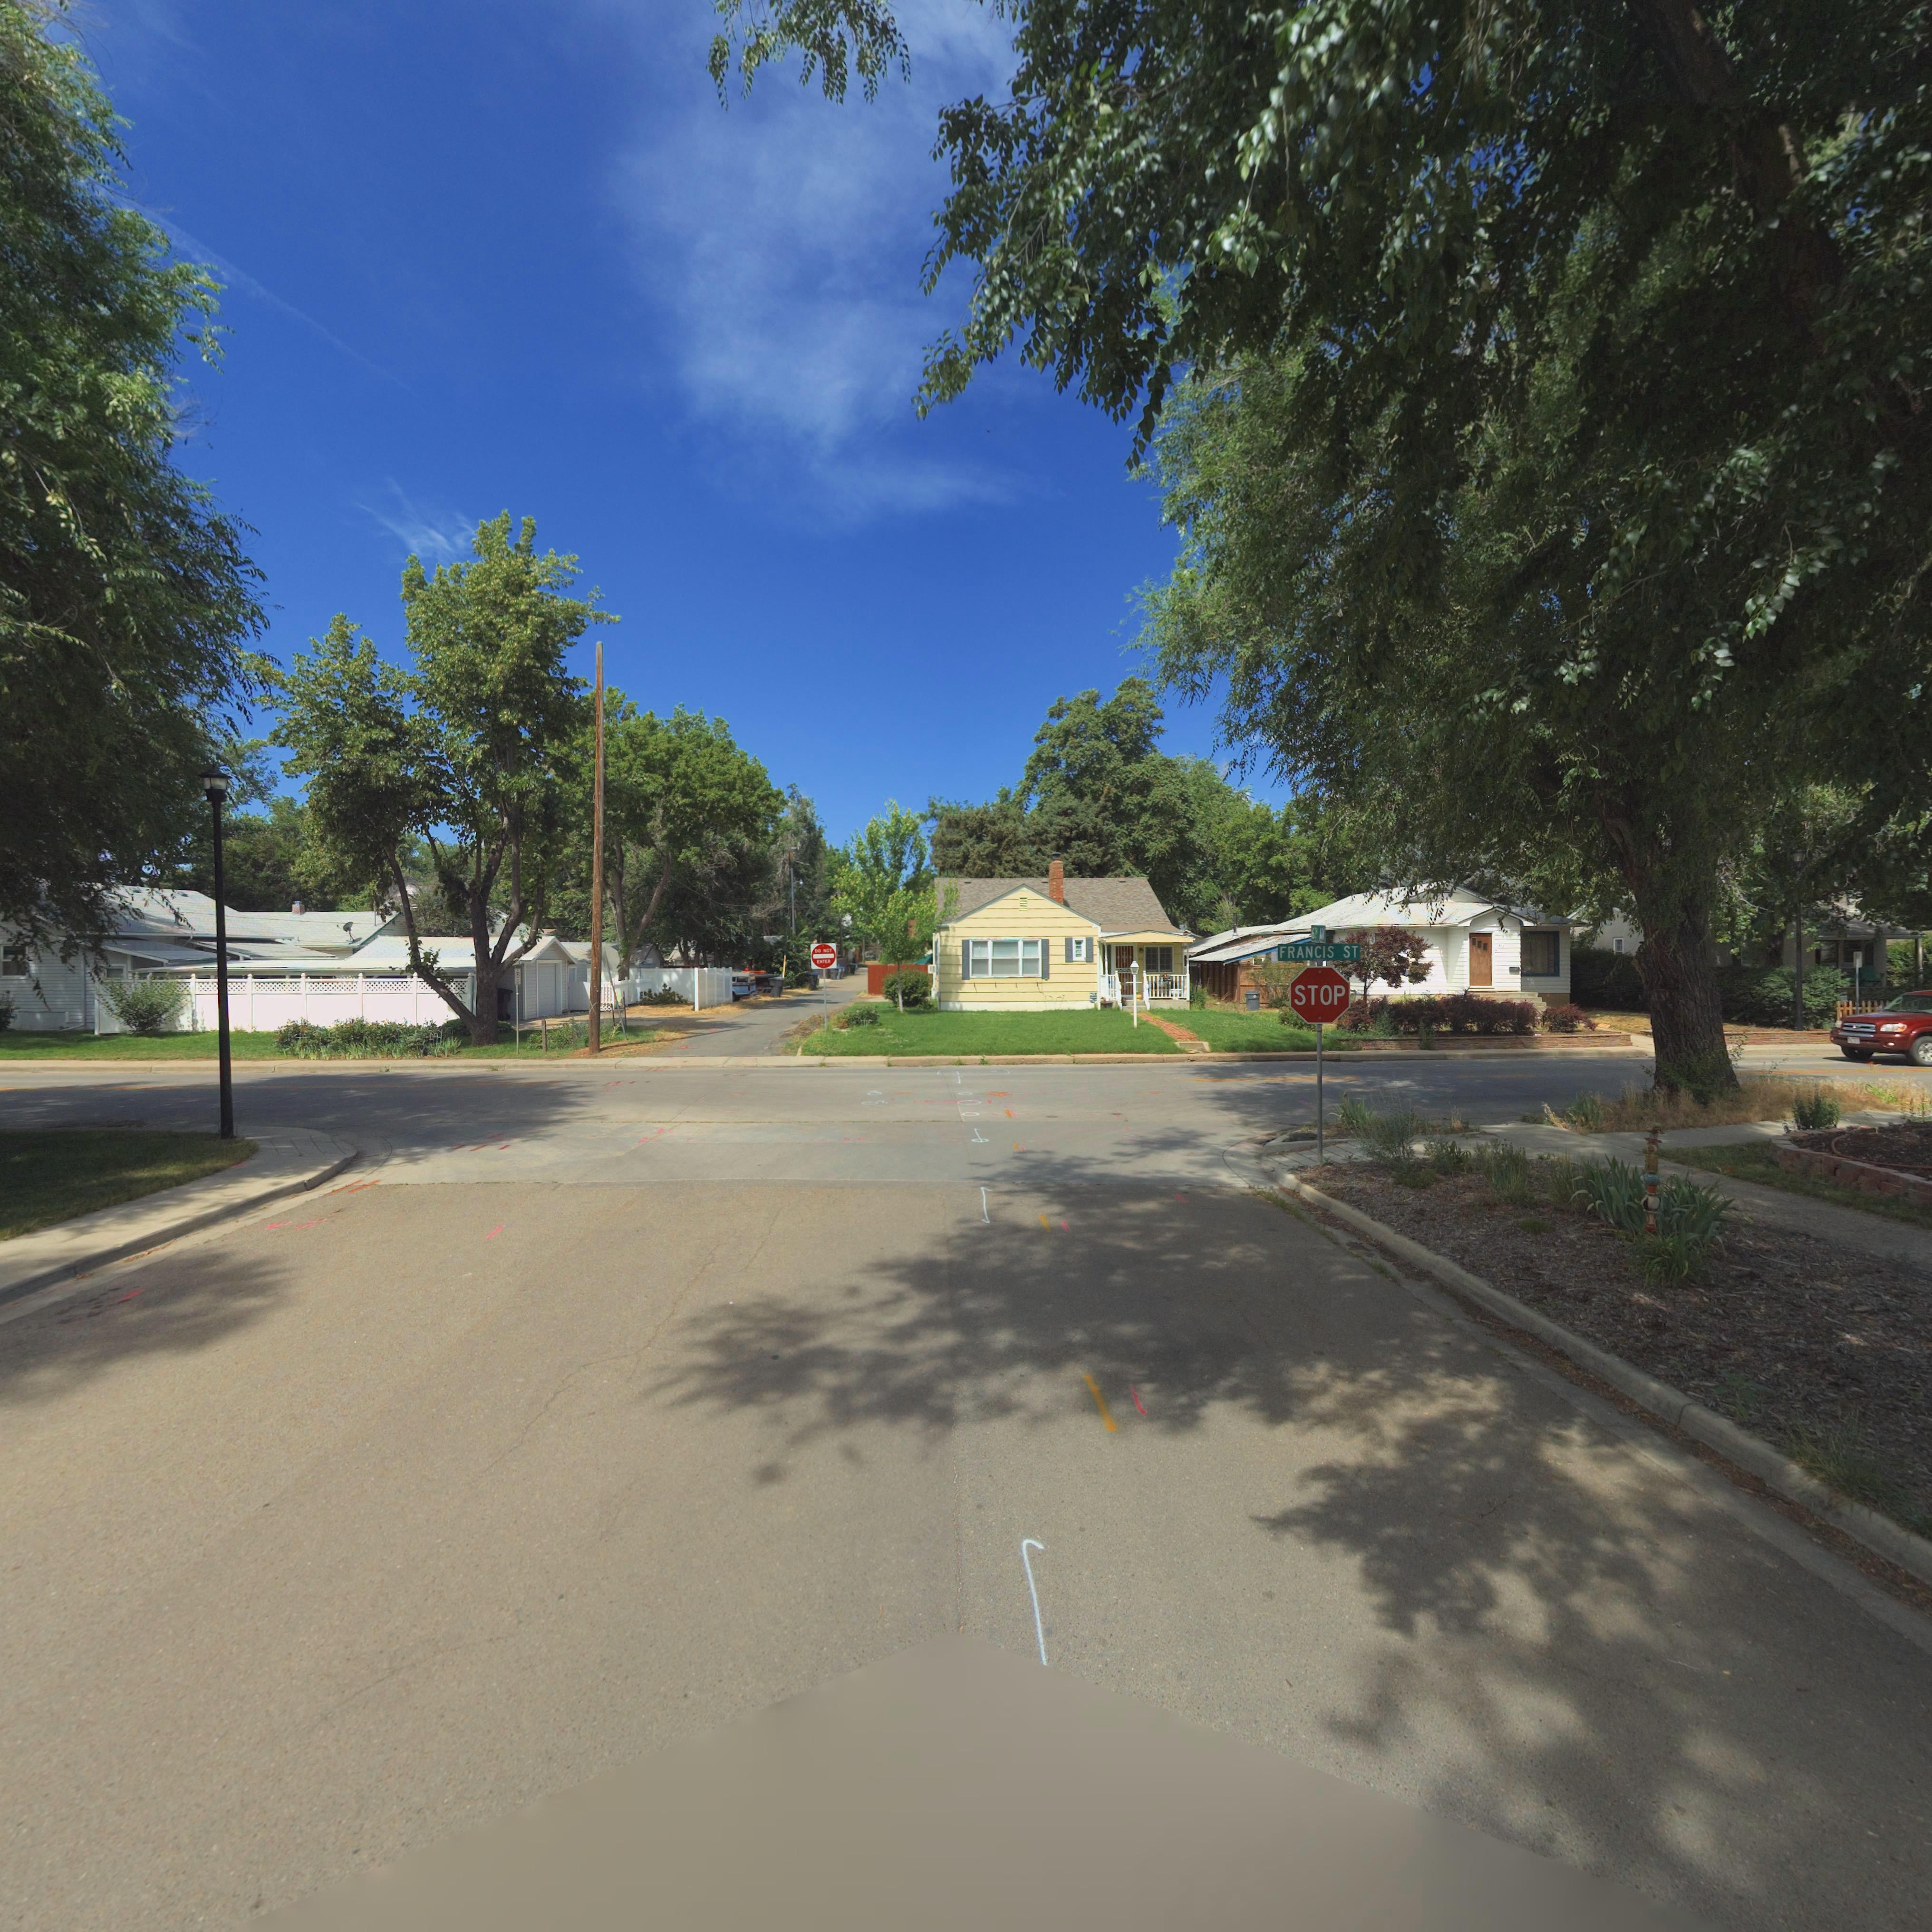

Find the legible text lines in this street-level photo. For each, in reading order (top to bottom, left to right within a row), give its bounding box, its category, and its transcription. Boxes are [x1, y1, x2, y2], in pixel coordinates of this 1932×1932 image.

[1311, 927, 1325, 940] StreetName: 6TH AV
[1279, 945, 1359, 958] StreetName: FRANCIS ST